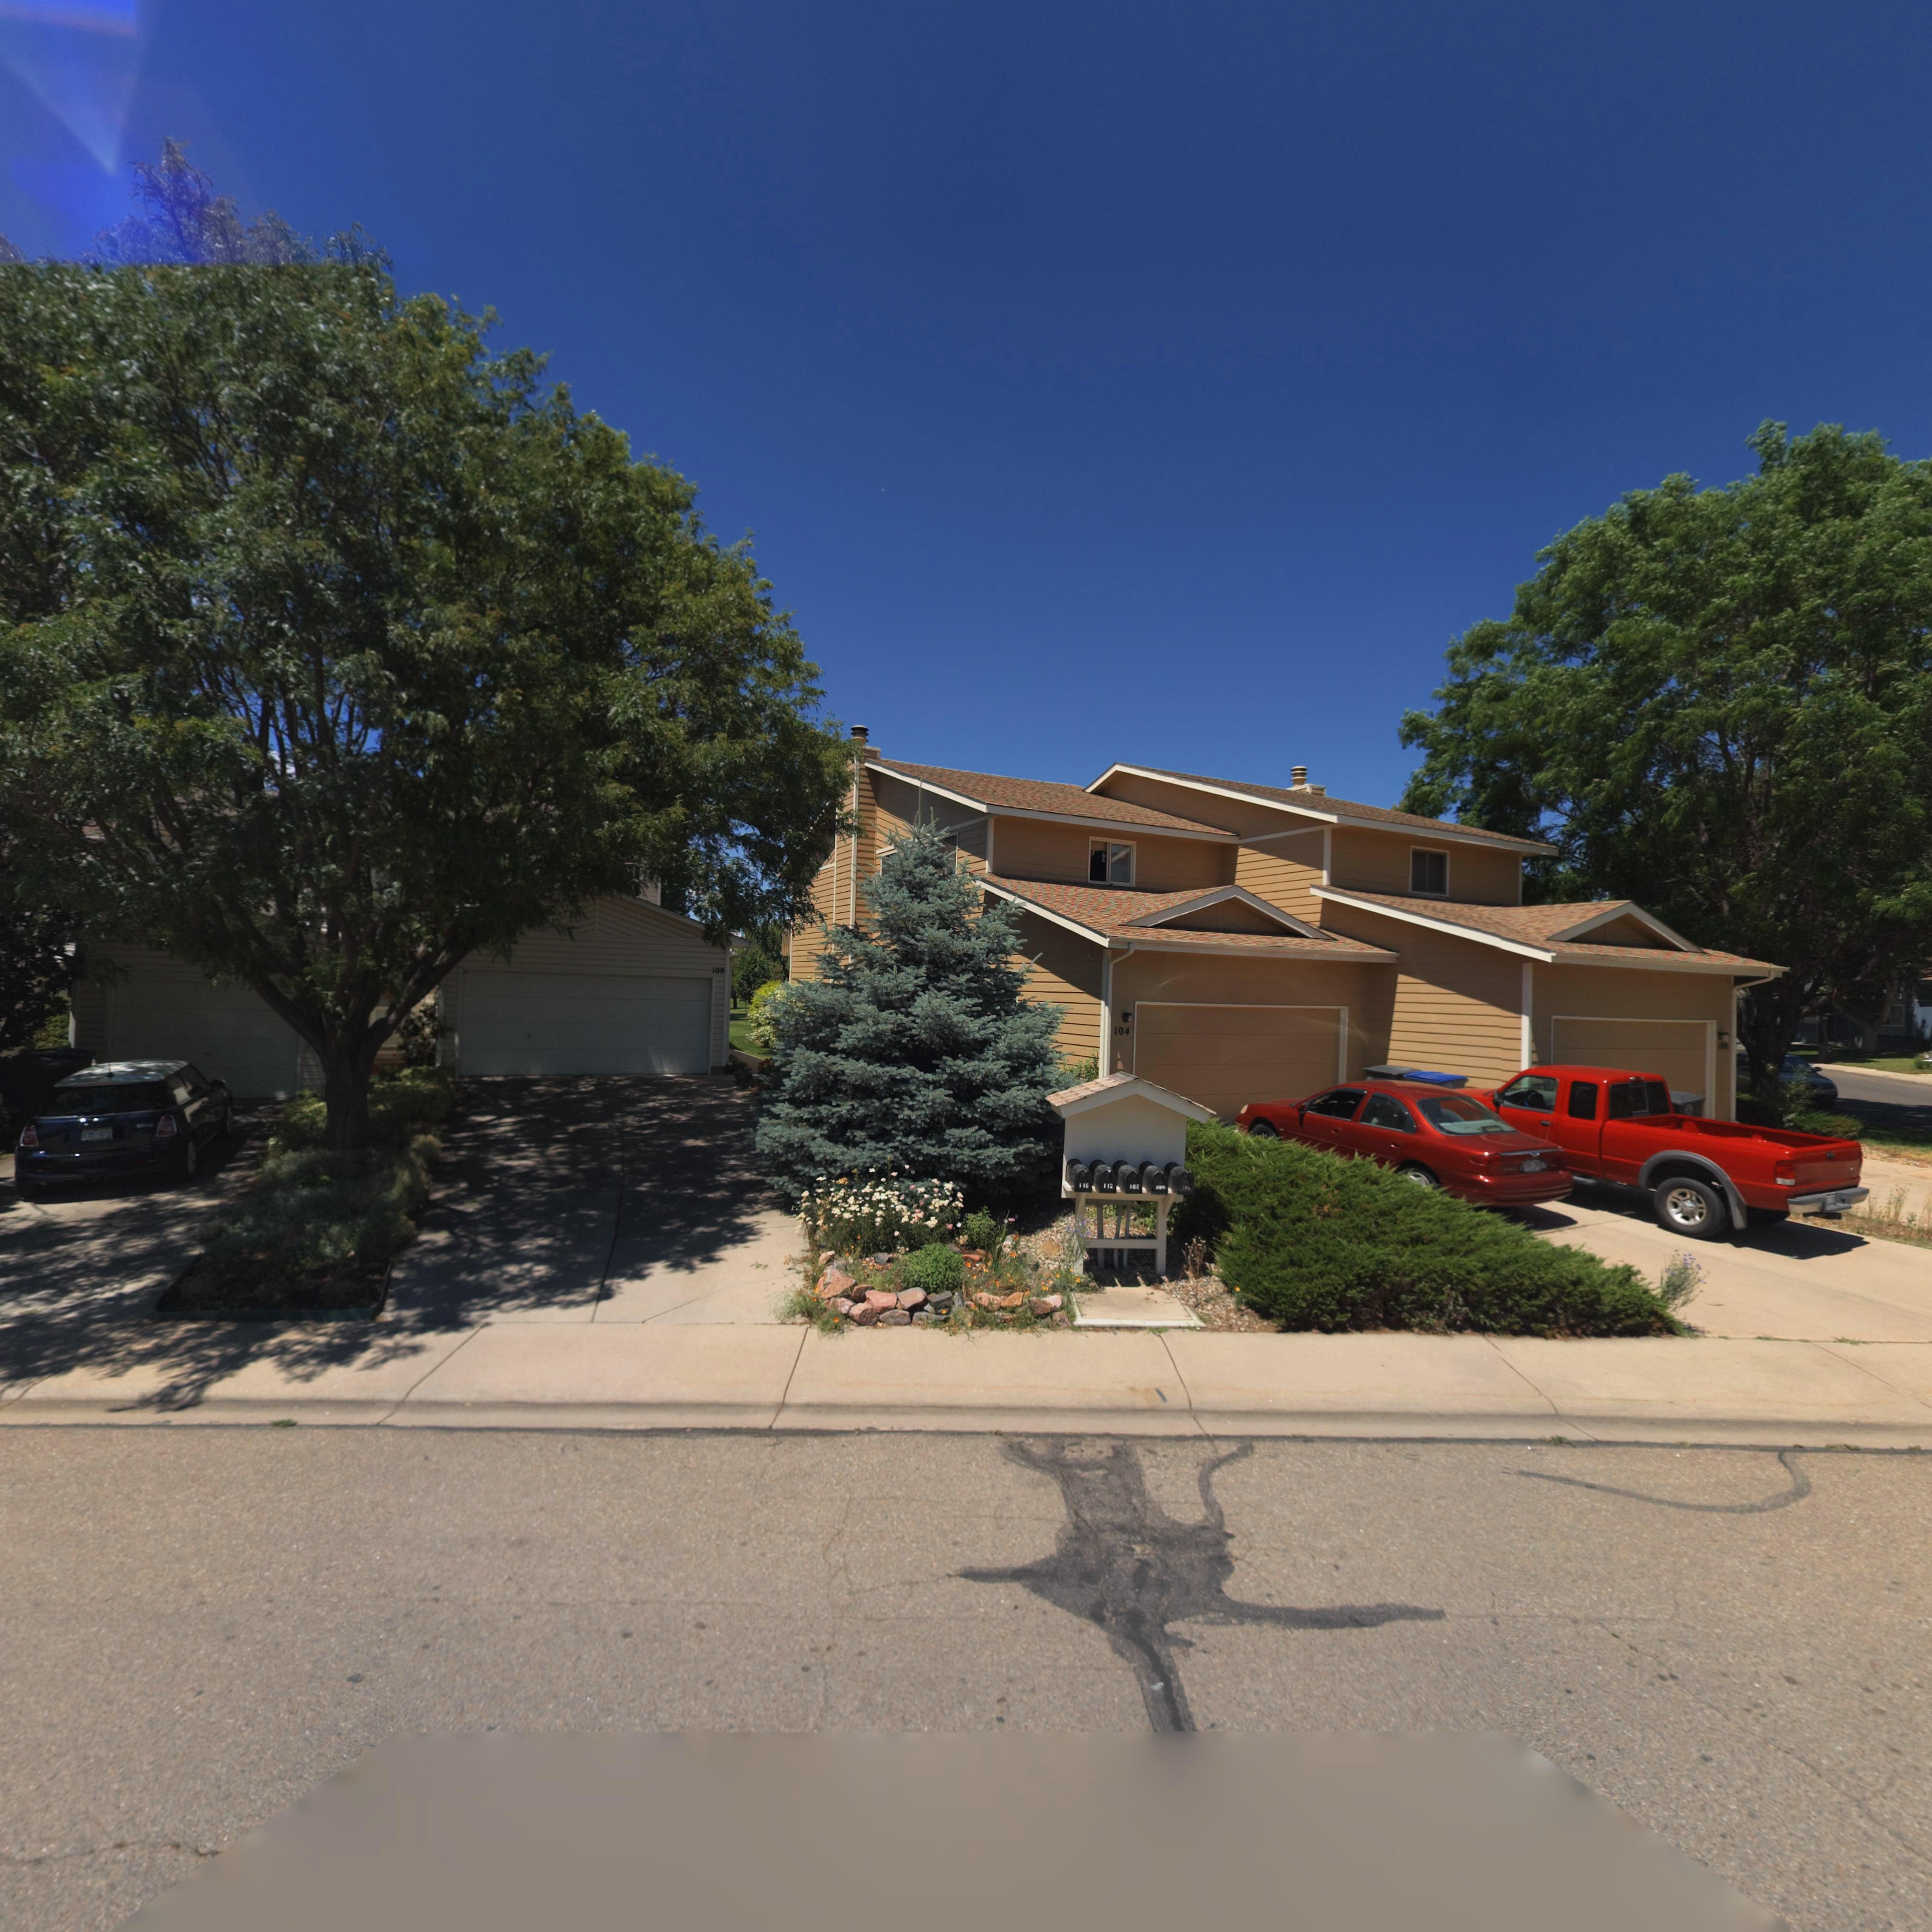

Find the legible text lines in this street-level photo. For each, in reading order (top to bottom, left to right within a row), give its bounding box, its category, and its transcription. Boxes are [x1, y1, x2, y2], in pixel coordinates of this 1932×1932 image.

[712, 966, 724, 974] StreetNumber: 108
[1113, 1026, 1130, 1035] StreetNumber: 104
[1718, 1042, 1728, 1050] StreetNumber: 100
[1079, 1182, 1089, 1188] StreetNumber: 116
[1103, 1182, 1113, 1188] StreetNumber: 112
[1129, 1184, 1139, 1189] StreetNumber: 10*
[1155, 1185, 1166, 1190] StreetNumber: 10*
[1182, 1185, 1190, 1190] StreetNumber: 10*